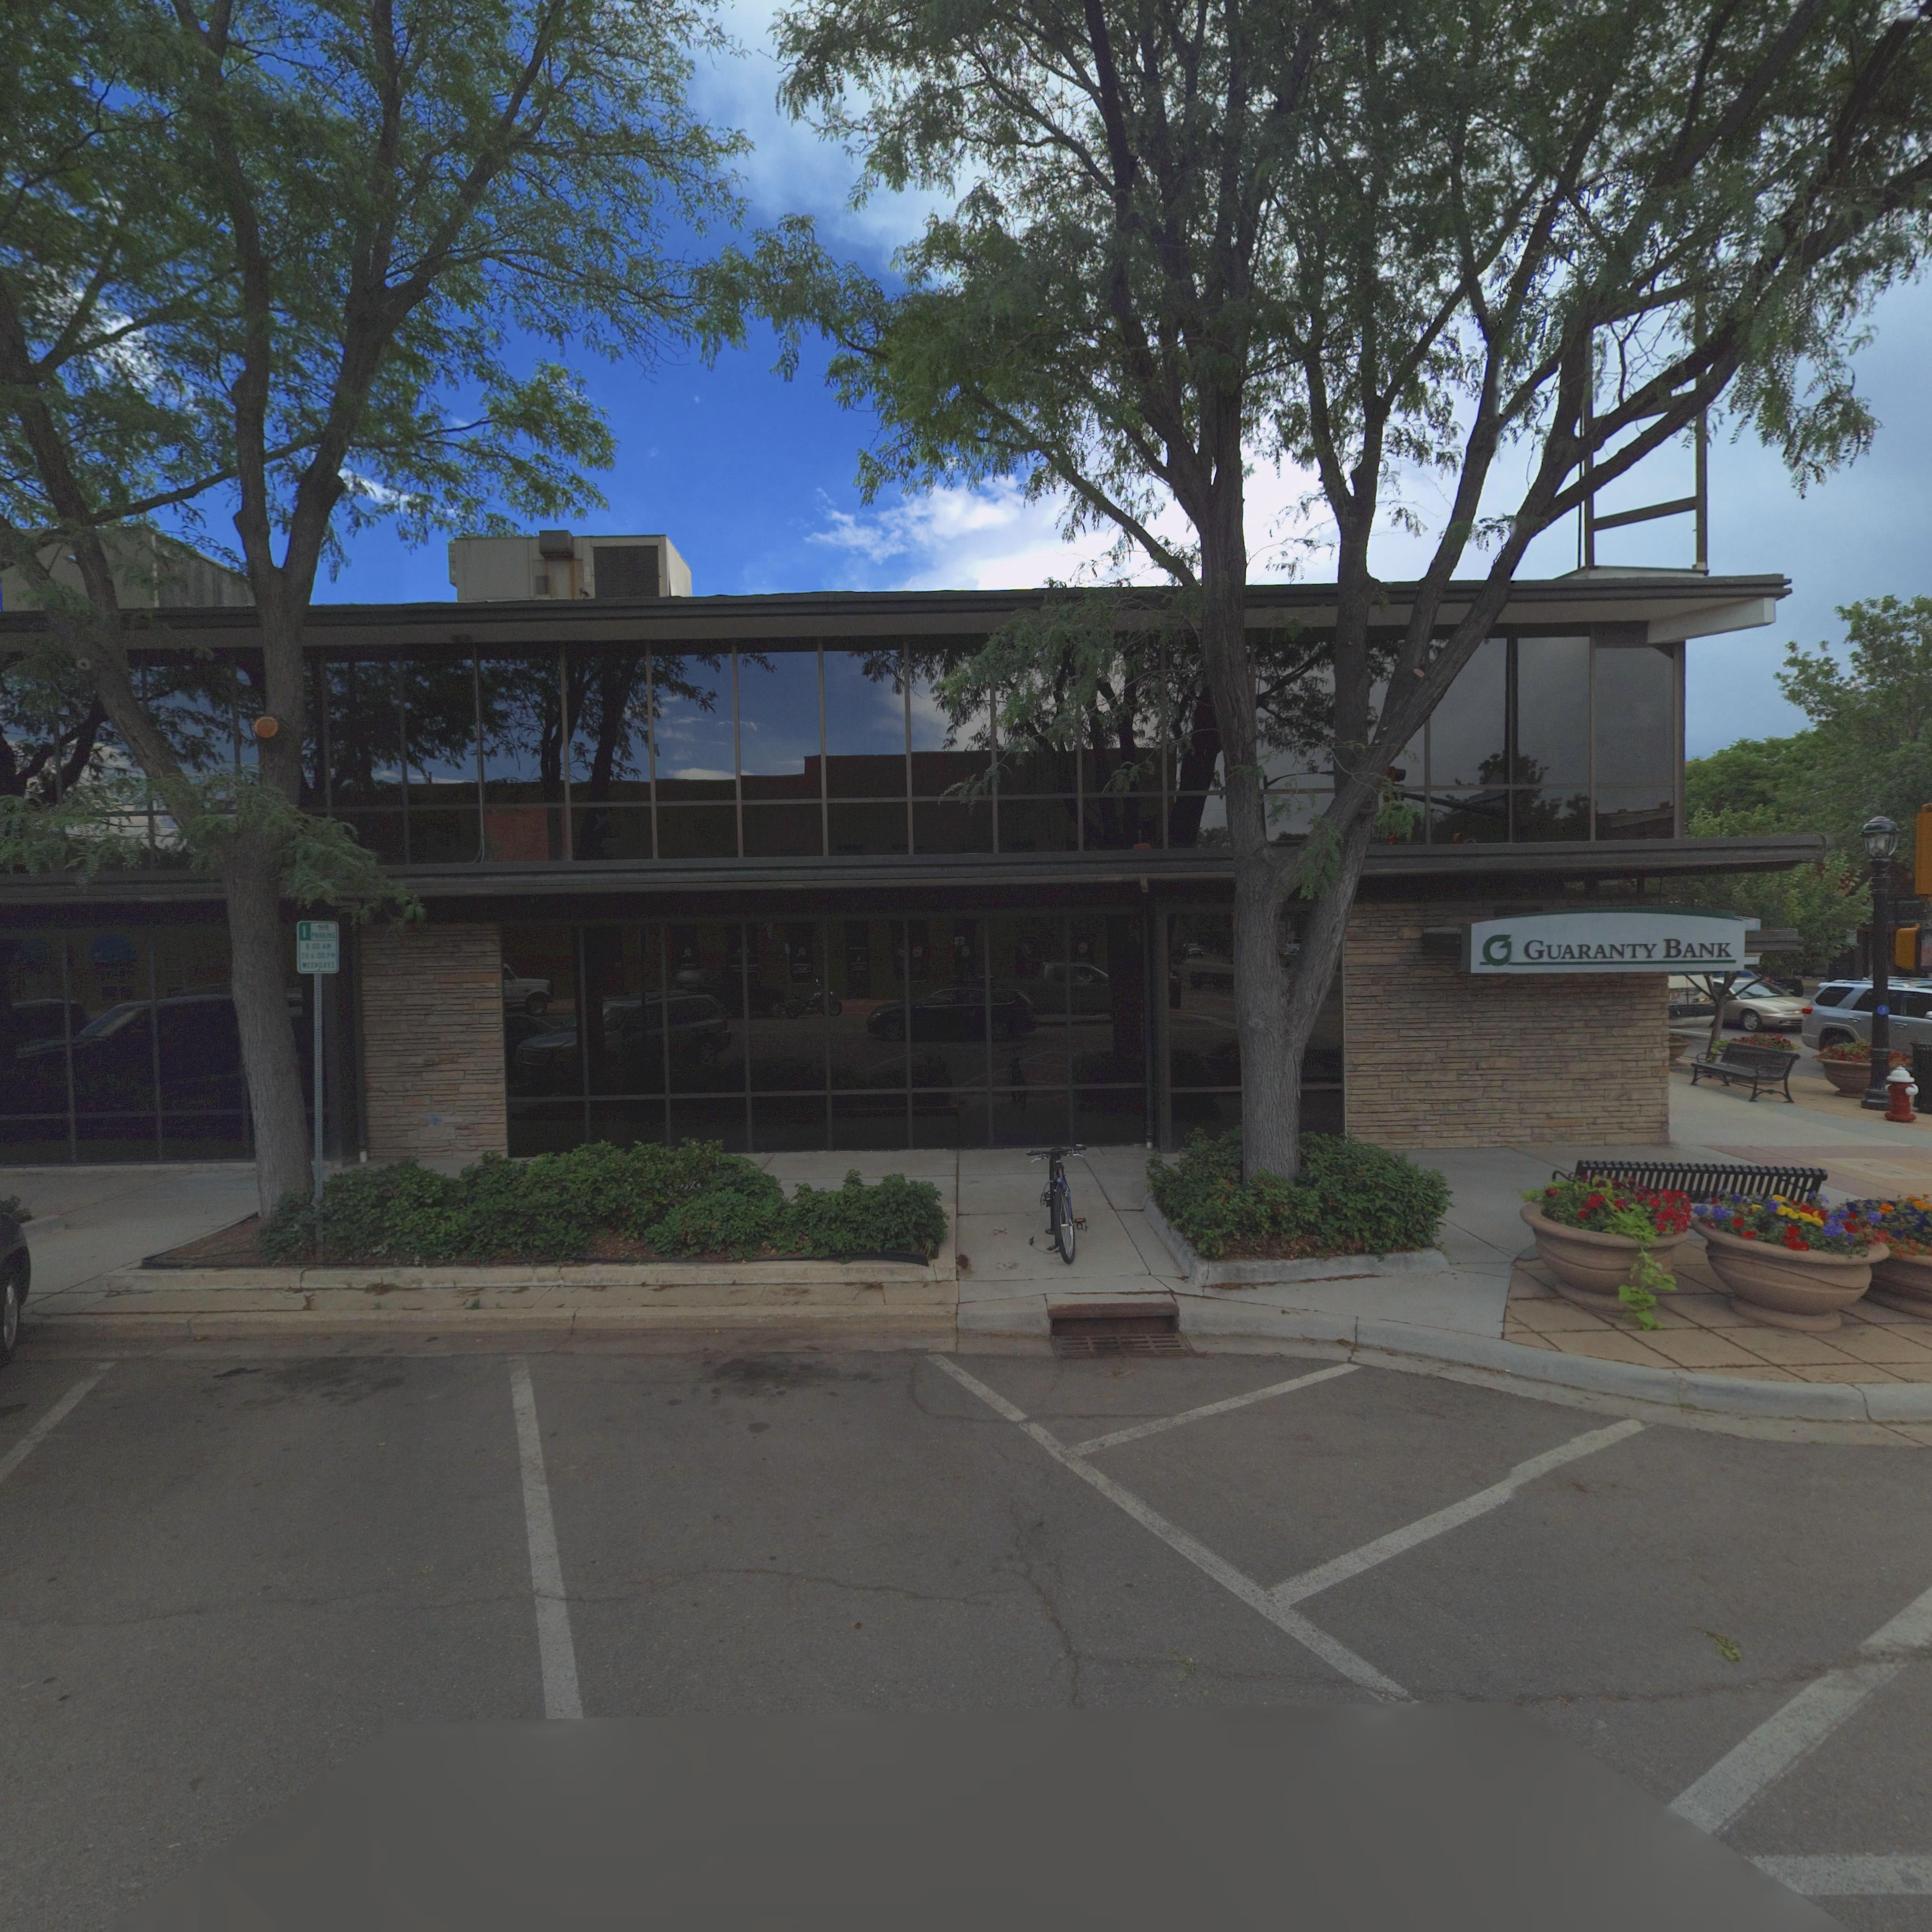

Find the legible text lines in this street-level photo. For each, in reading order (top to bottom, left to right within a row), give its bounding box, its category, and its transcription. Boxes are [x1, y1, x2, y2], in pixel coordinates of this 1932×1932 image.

[1524, 938, 1733, 960] BusinessName: GUARANTY BANK